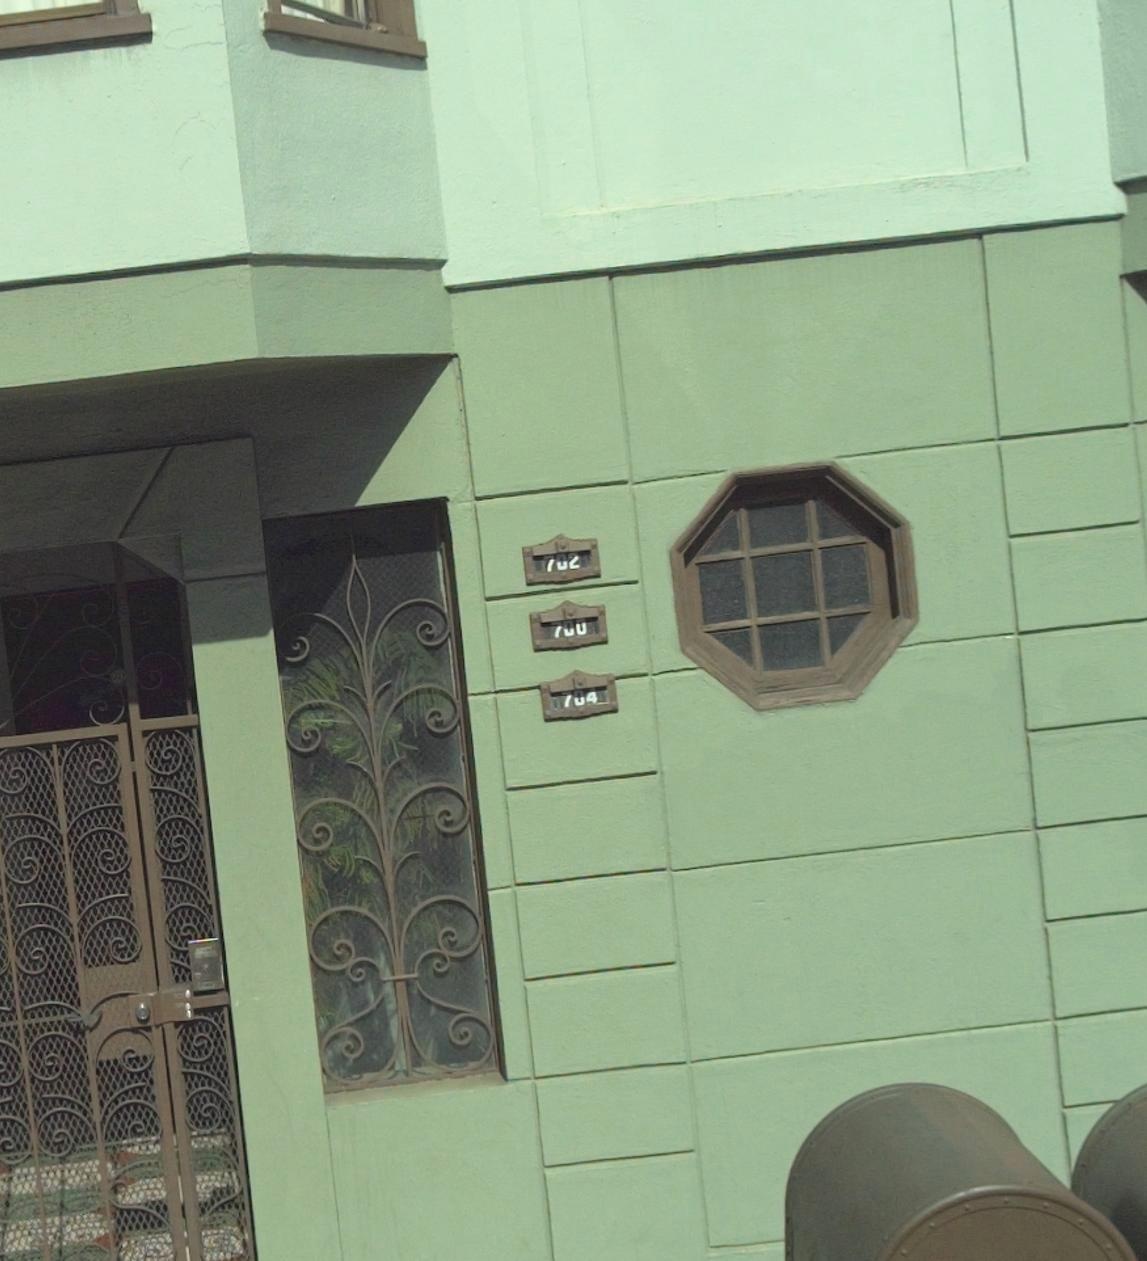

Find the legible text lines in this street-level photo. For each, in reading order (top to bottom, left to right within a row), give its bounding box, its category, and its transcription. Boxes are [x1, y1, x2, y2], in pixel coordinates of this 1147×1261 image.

[542, 550, 582, 573] StreetNumber: 702
[548, 616, 589, 639] StreetNumber: 700
[560, 686, 600, 710] StreetNumber: 704